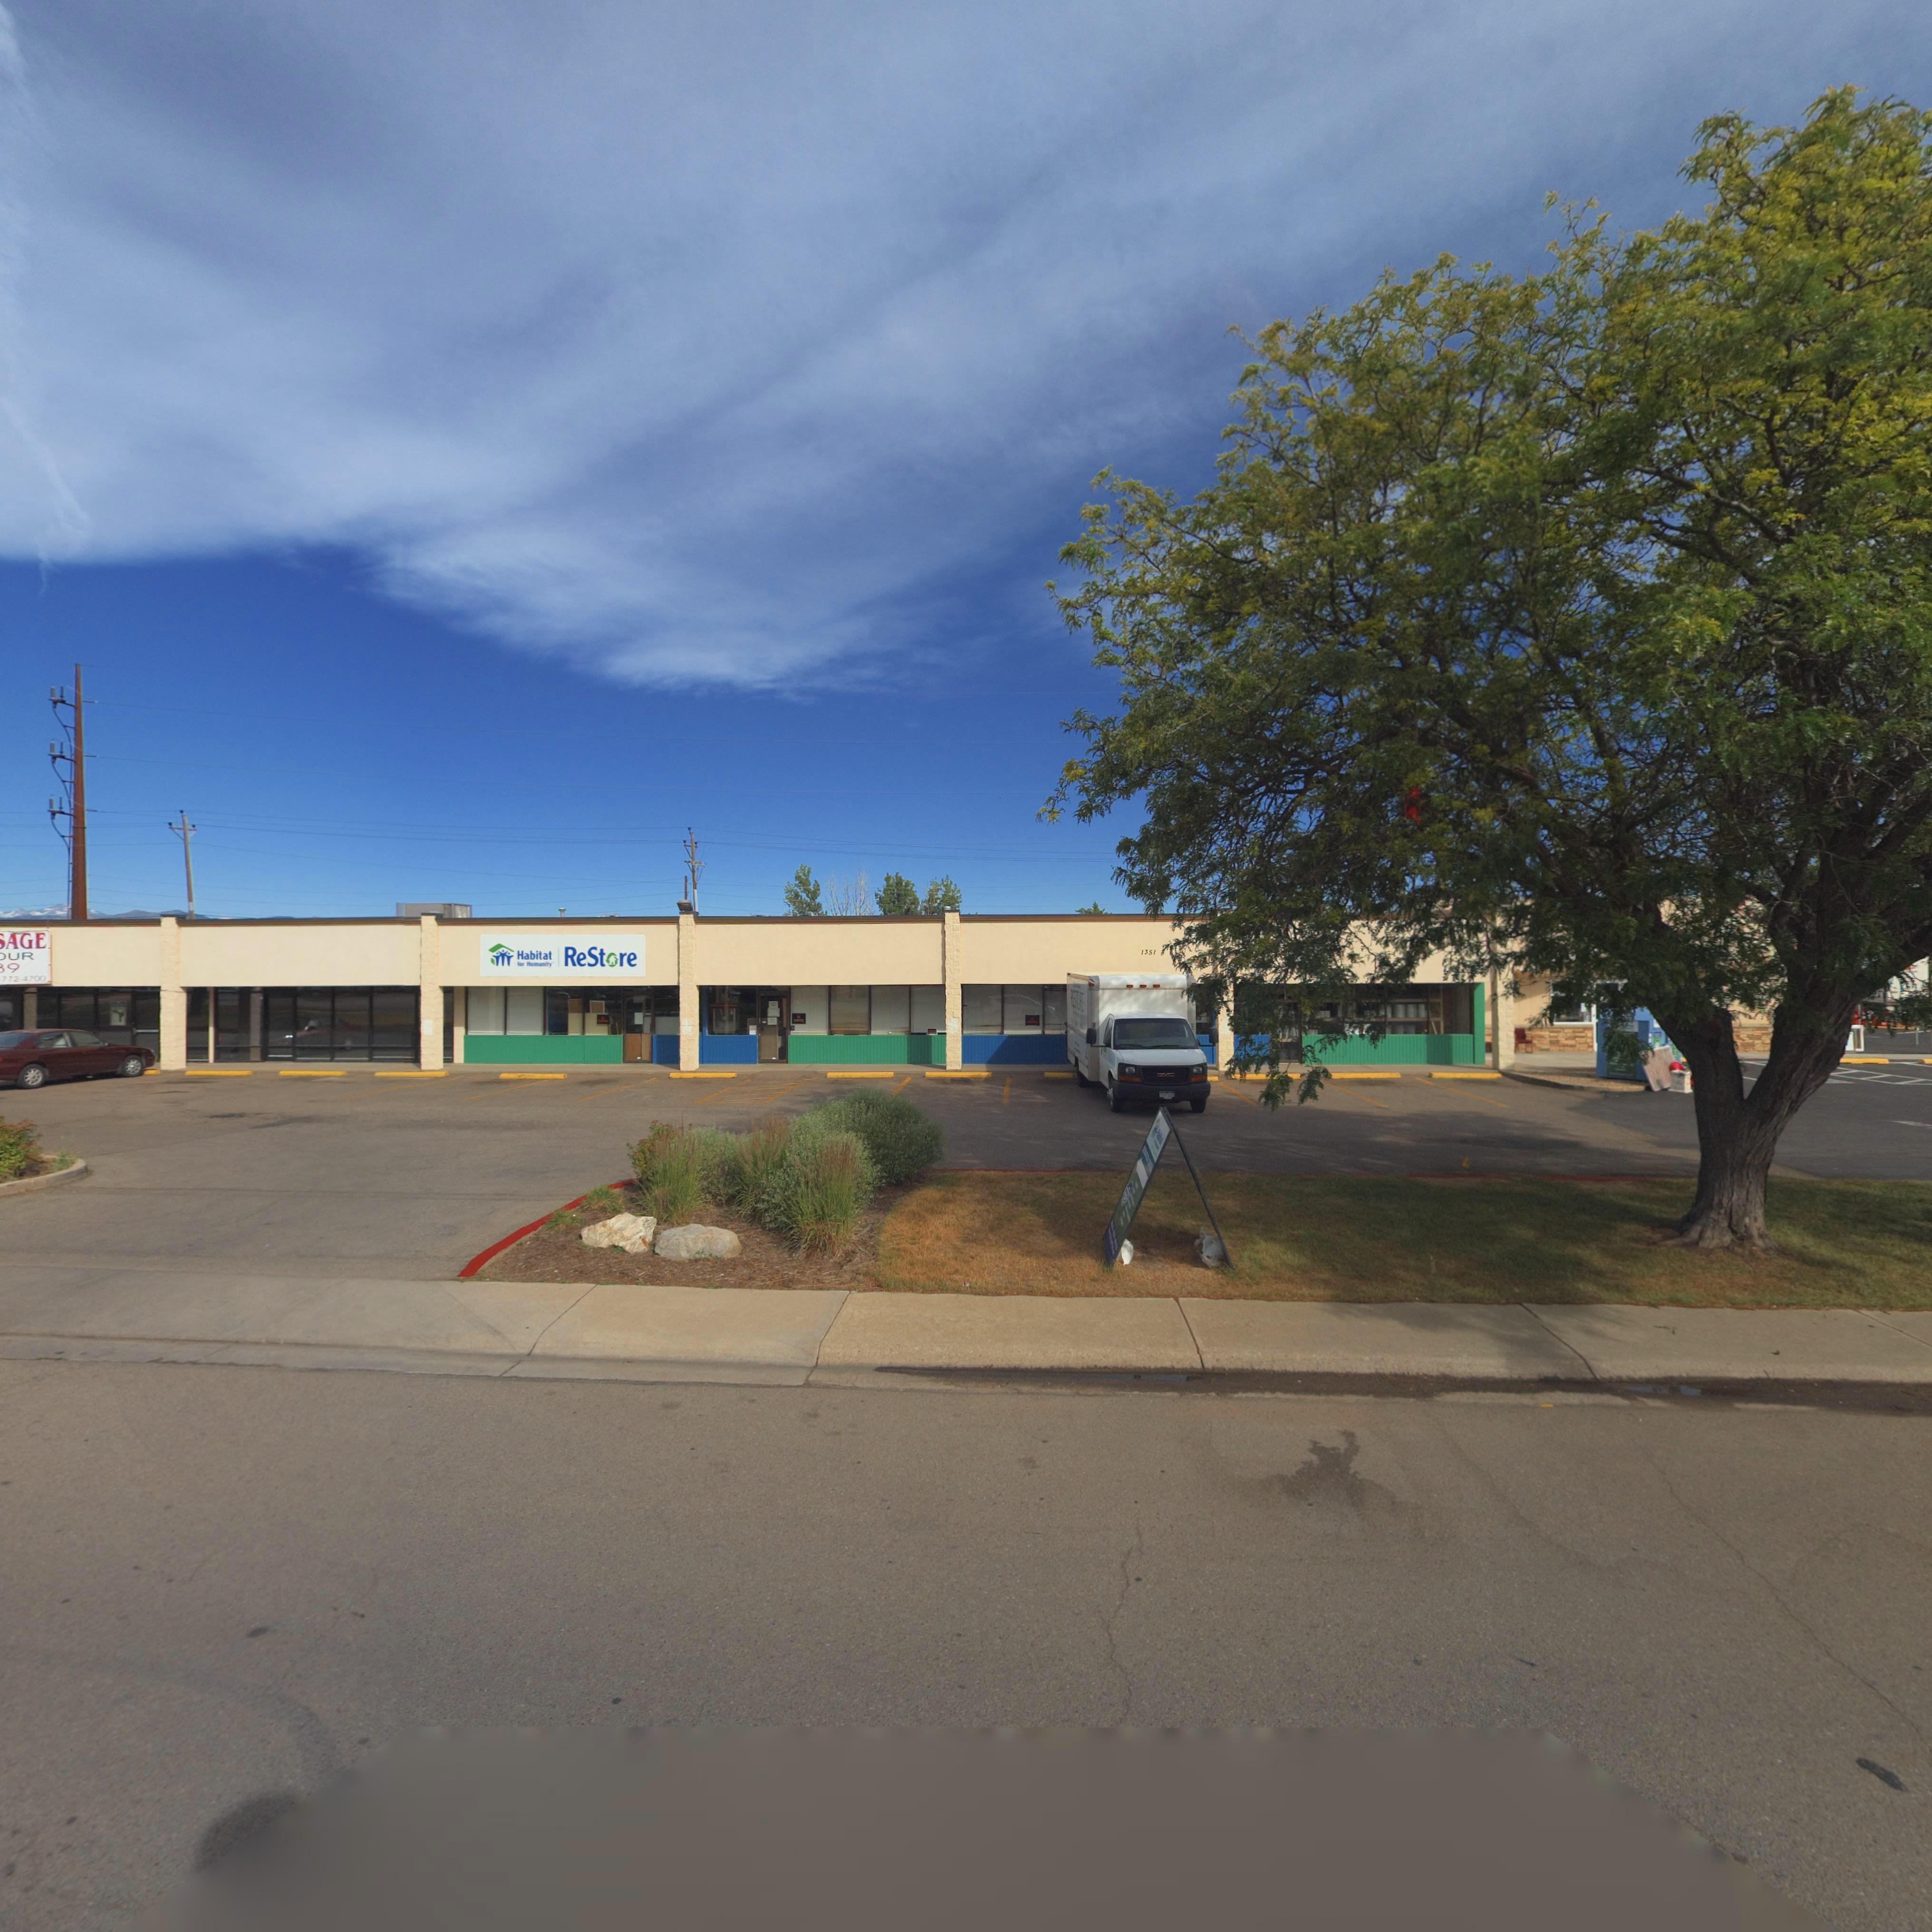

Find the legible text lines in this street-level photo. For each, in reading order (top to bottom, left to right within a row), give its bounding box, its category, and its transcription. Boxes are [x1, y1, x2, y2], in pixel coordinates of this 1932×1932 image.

[517, 949, 552, 960] BusinessName: Habitat
[563, 946, 638, 967] BusinessName: ReStore
[1140, 949, 1156, 955] StreetNumber: 1351
[516, 960, 553, 968] BusinessName: for Humanity